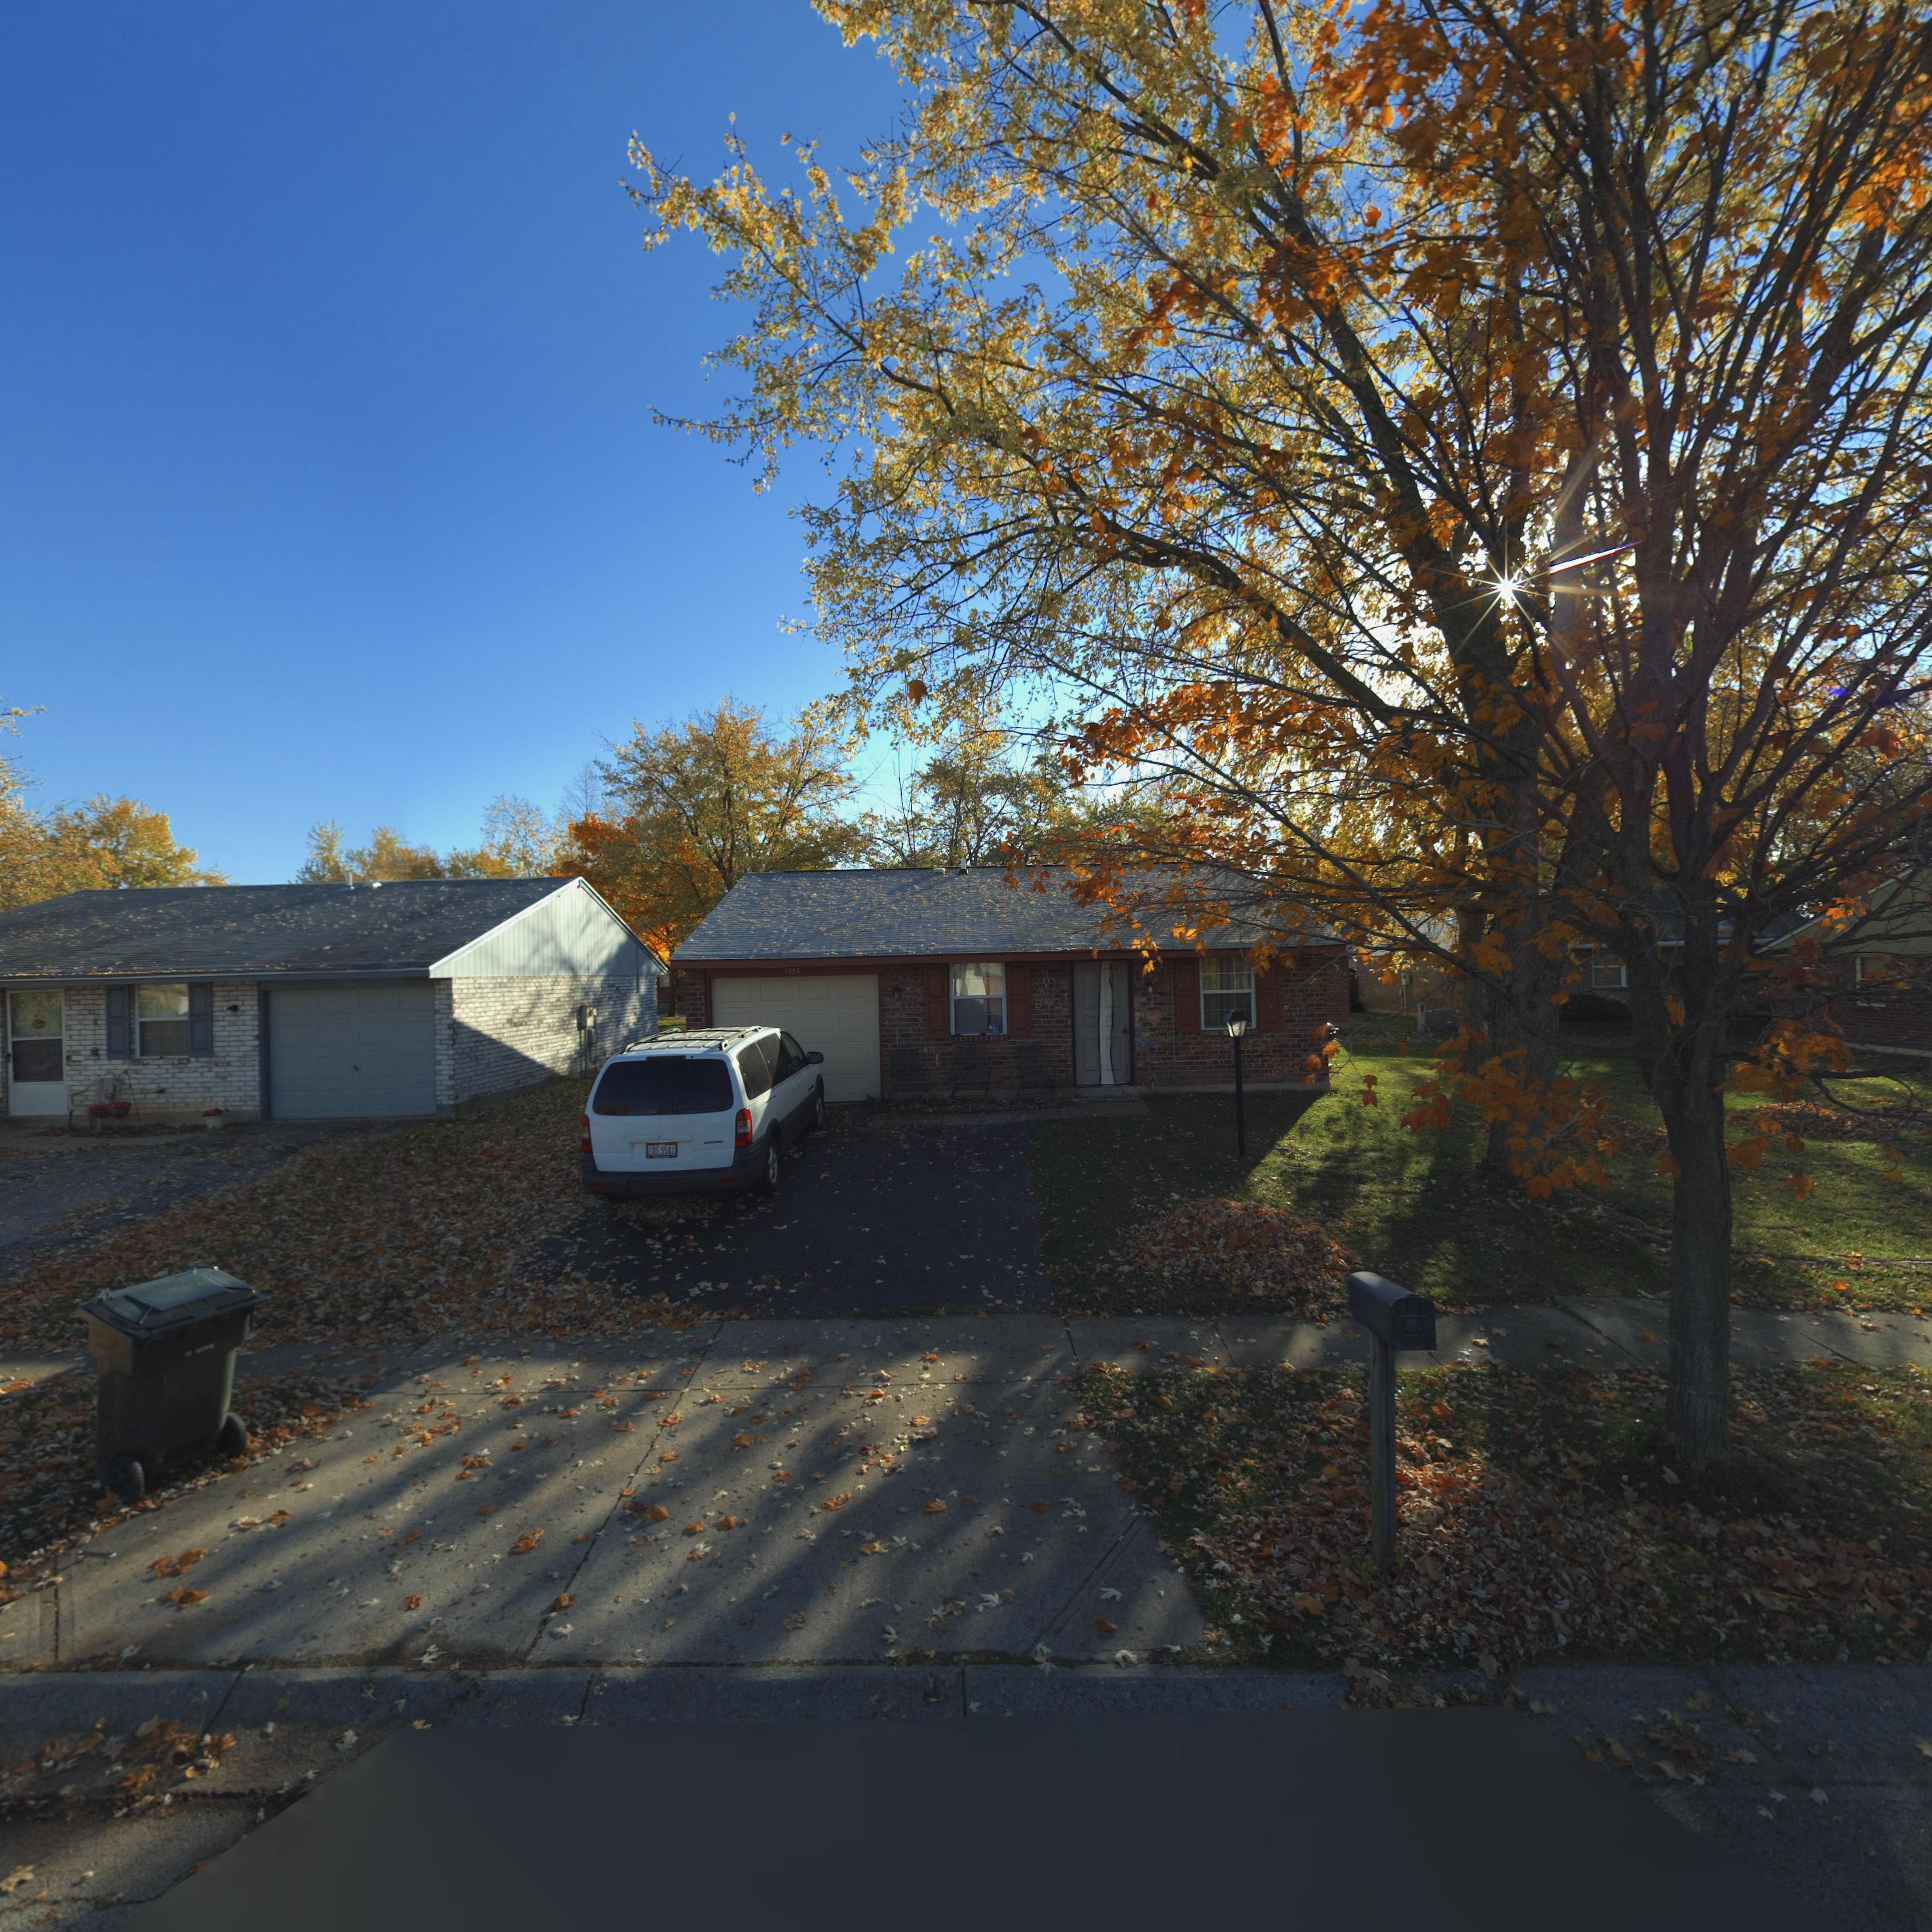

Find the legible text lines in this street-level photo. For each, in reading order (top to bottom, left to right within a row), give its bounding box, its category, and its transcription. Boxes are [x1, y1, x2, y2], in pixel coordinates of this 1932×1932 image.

[784, 967, 801, 975] StreetNumber: 7732
[336, 979, 356, 988] StreetNumber: 7736